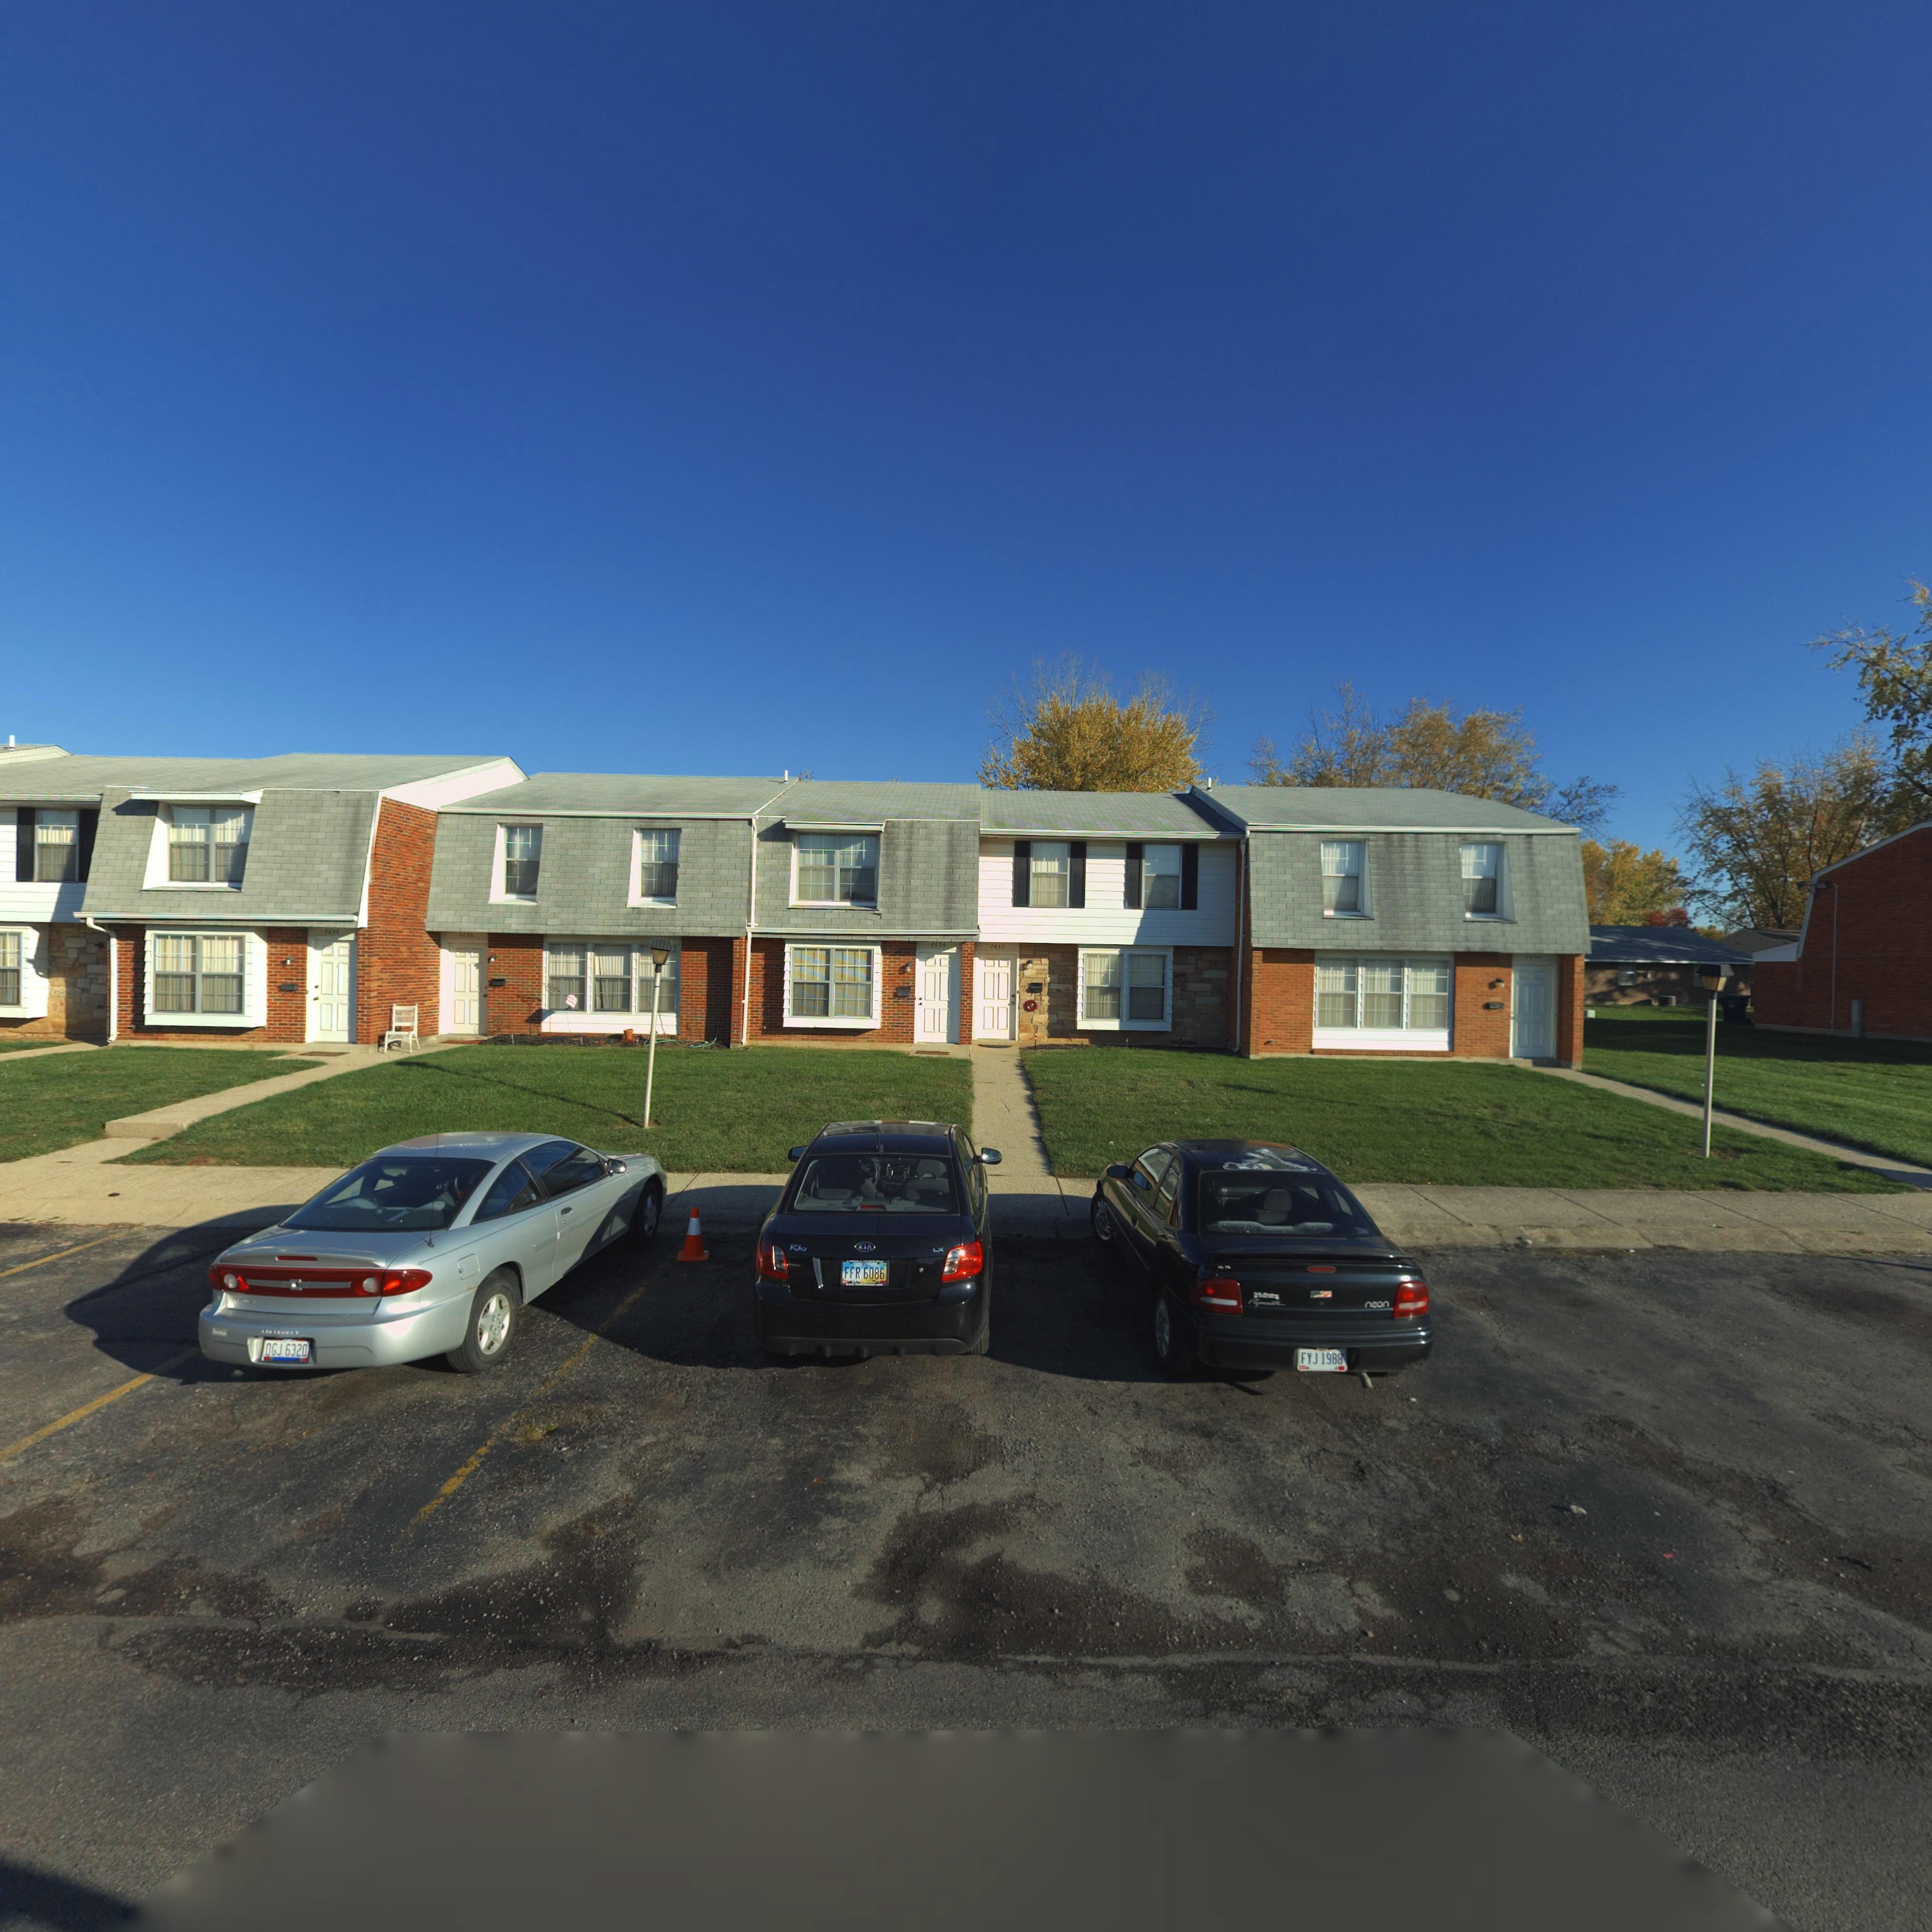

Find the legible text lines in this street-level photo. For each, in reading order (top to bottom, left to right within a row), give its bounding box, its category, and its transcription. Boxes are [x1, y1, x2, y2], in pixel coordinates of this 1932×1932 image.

[324, 928, 340, 935] StreetNumber: 7638
[458, 932, 474, 938] StreetNumber: 7636
[931, 941, 947, 947] StreetNumber: 7634
[989, 944, 1005, 949] StreetNumber: 7632
[1525, 954, 1542, 960] StreetNumber: 76**